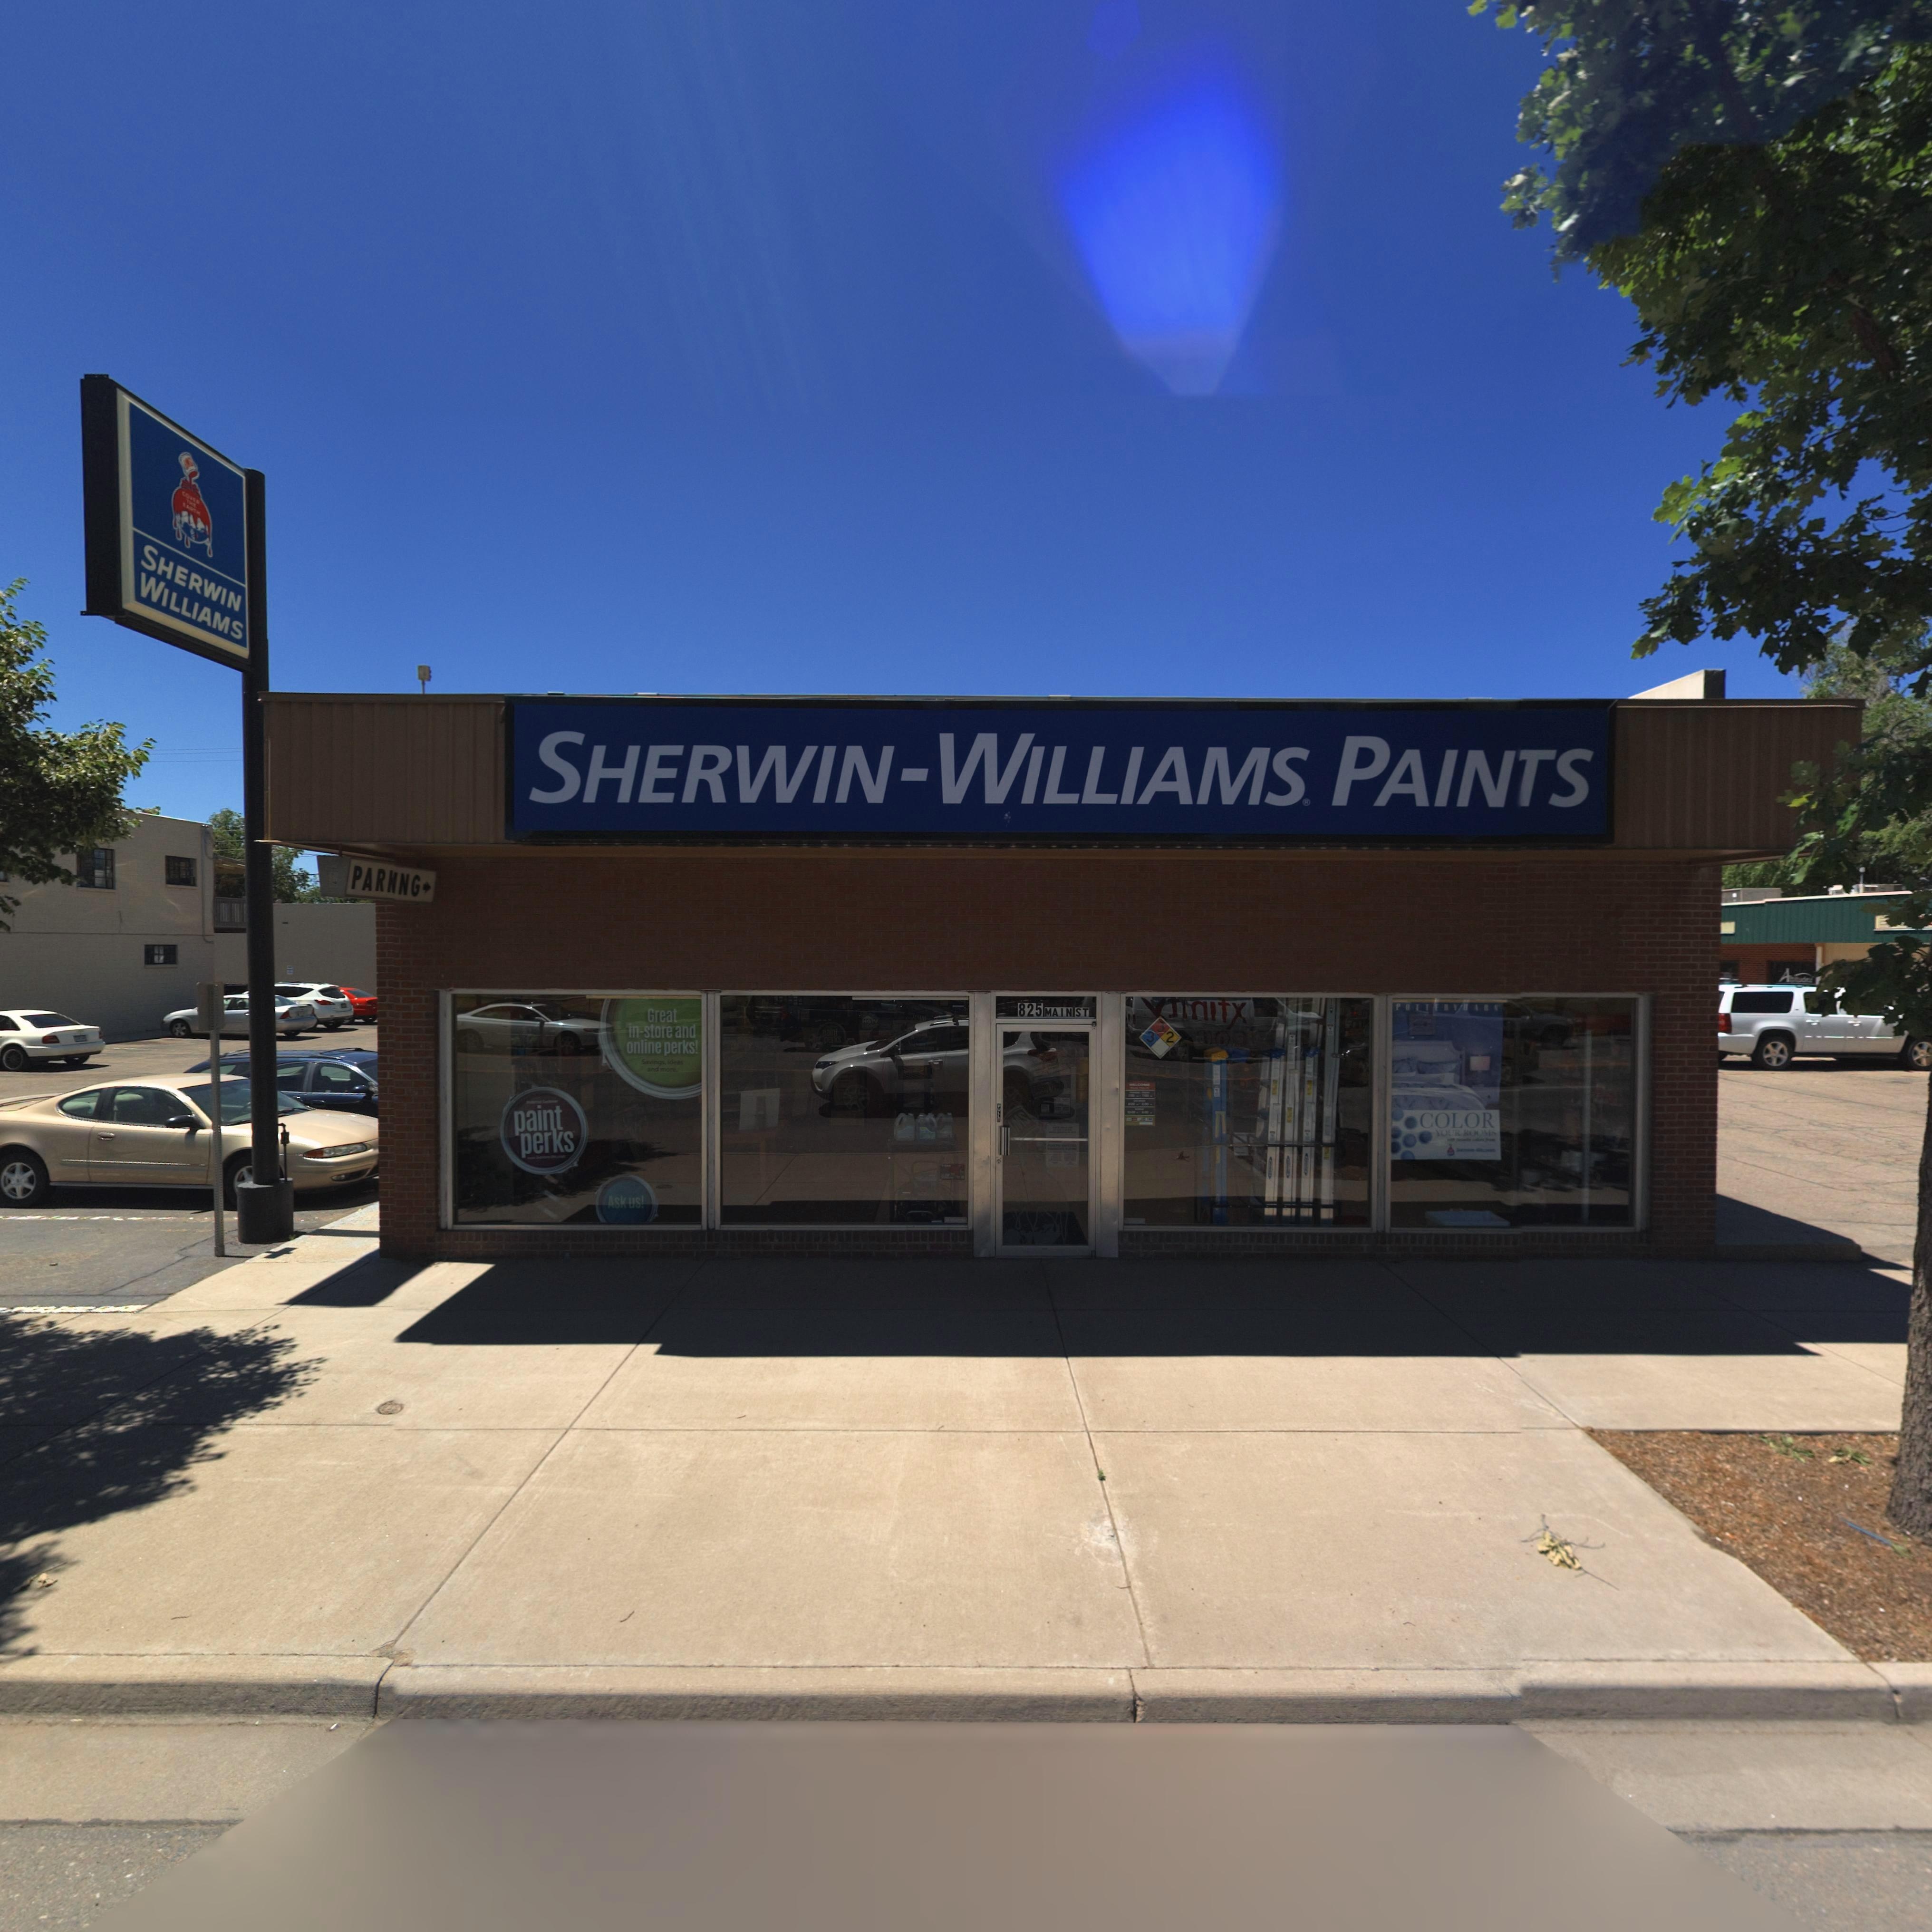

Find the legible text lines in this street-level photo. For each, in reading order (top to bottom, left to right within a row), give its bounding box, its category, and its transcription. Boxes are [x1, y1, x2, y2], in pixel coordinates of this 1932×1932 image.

[140, 544, 241, 612] BusinessName: SHERWIN
[140, 571, 243, 639] BusinessName: WILLIAMS
[525, 727, 1598, 810] BusinessName: SHERWIN * WILLIAMS PAINTS
[1778, 967, 1815, 983] BusinessName: Attitudez
[1018, 1003, 1042, 1017] StreetNumber: 825
[1044, 1007, 1089, 1016] StreetName: MAIN ST